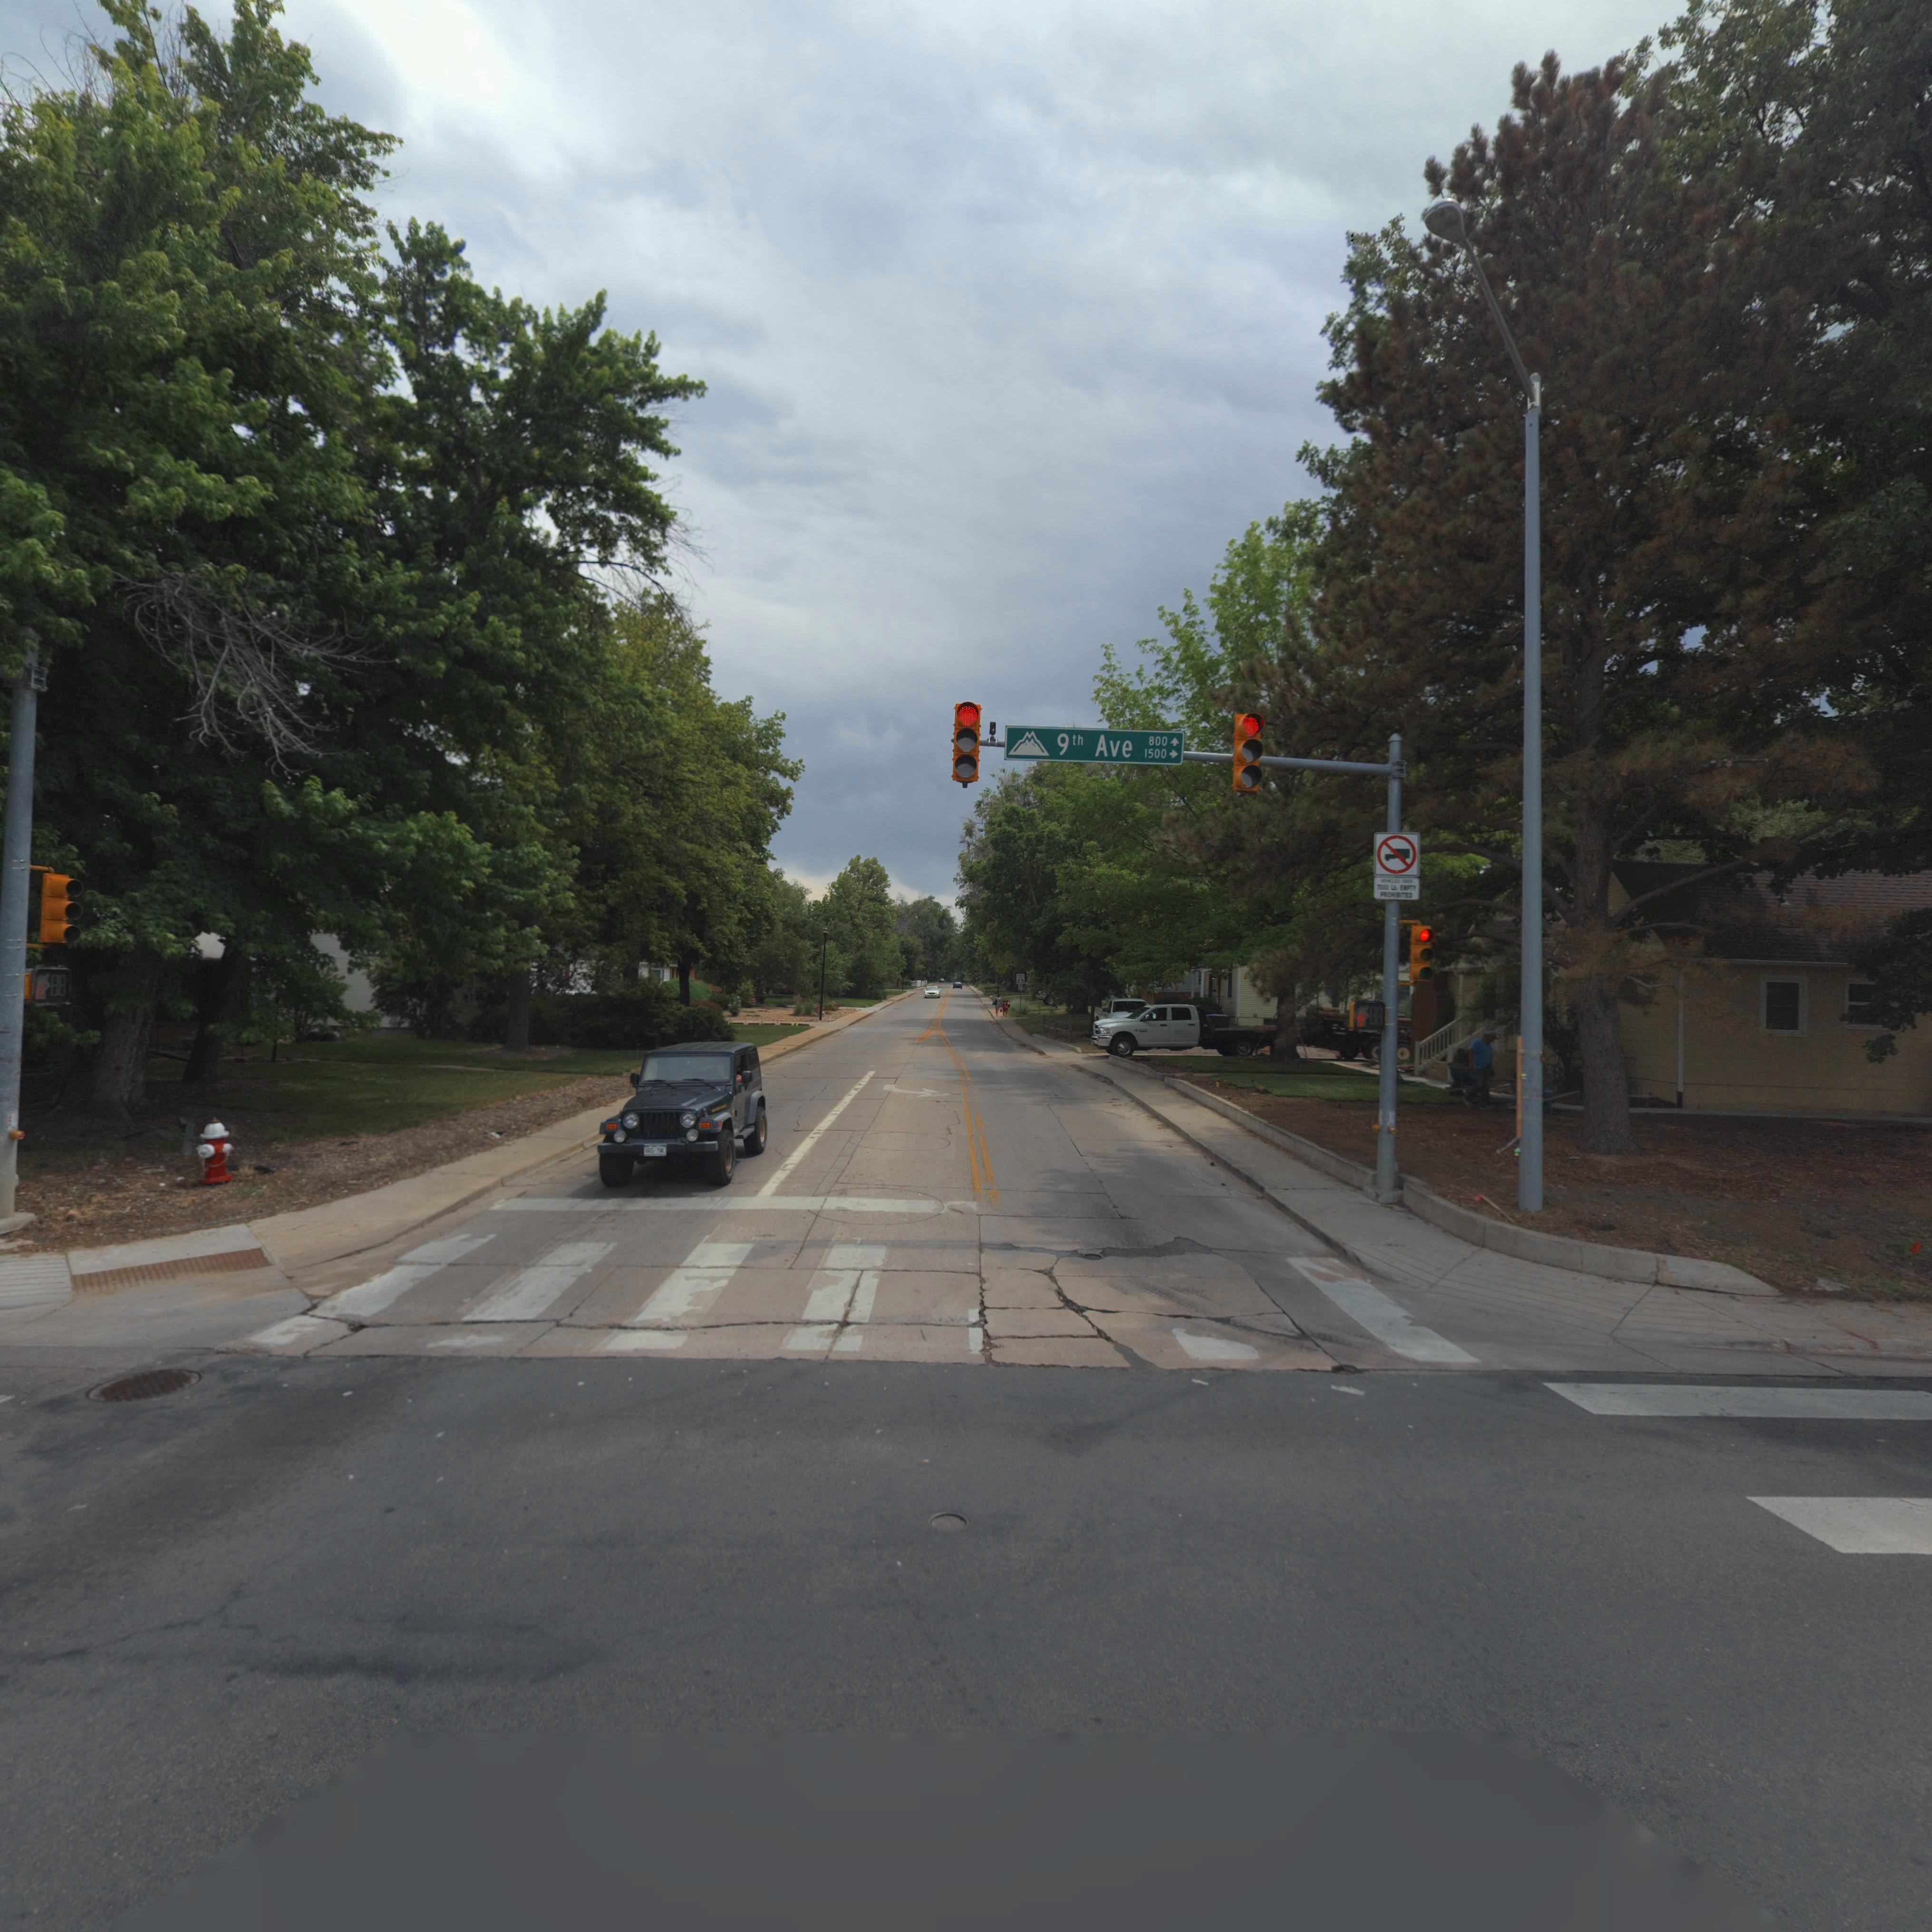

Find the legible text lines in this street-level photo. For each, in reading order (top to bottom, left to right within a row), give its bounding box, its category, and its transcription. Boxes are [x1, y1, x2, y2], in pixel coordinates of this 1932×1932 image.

[1056, 733, 1134, 758] StreetName: 9th Ave
[1149, 735, 1167, 746] StreetNumberRange: 800
[1144, 748, 1178, 759] StreetNumberRange: 1500 ->